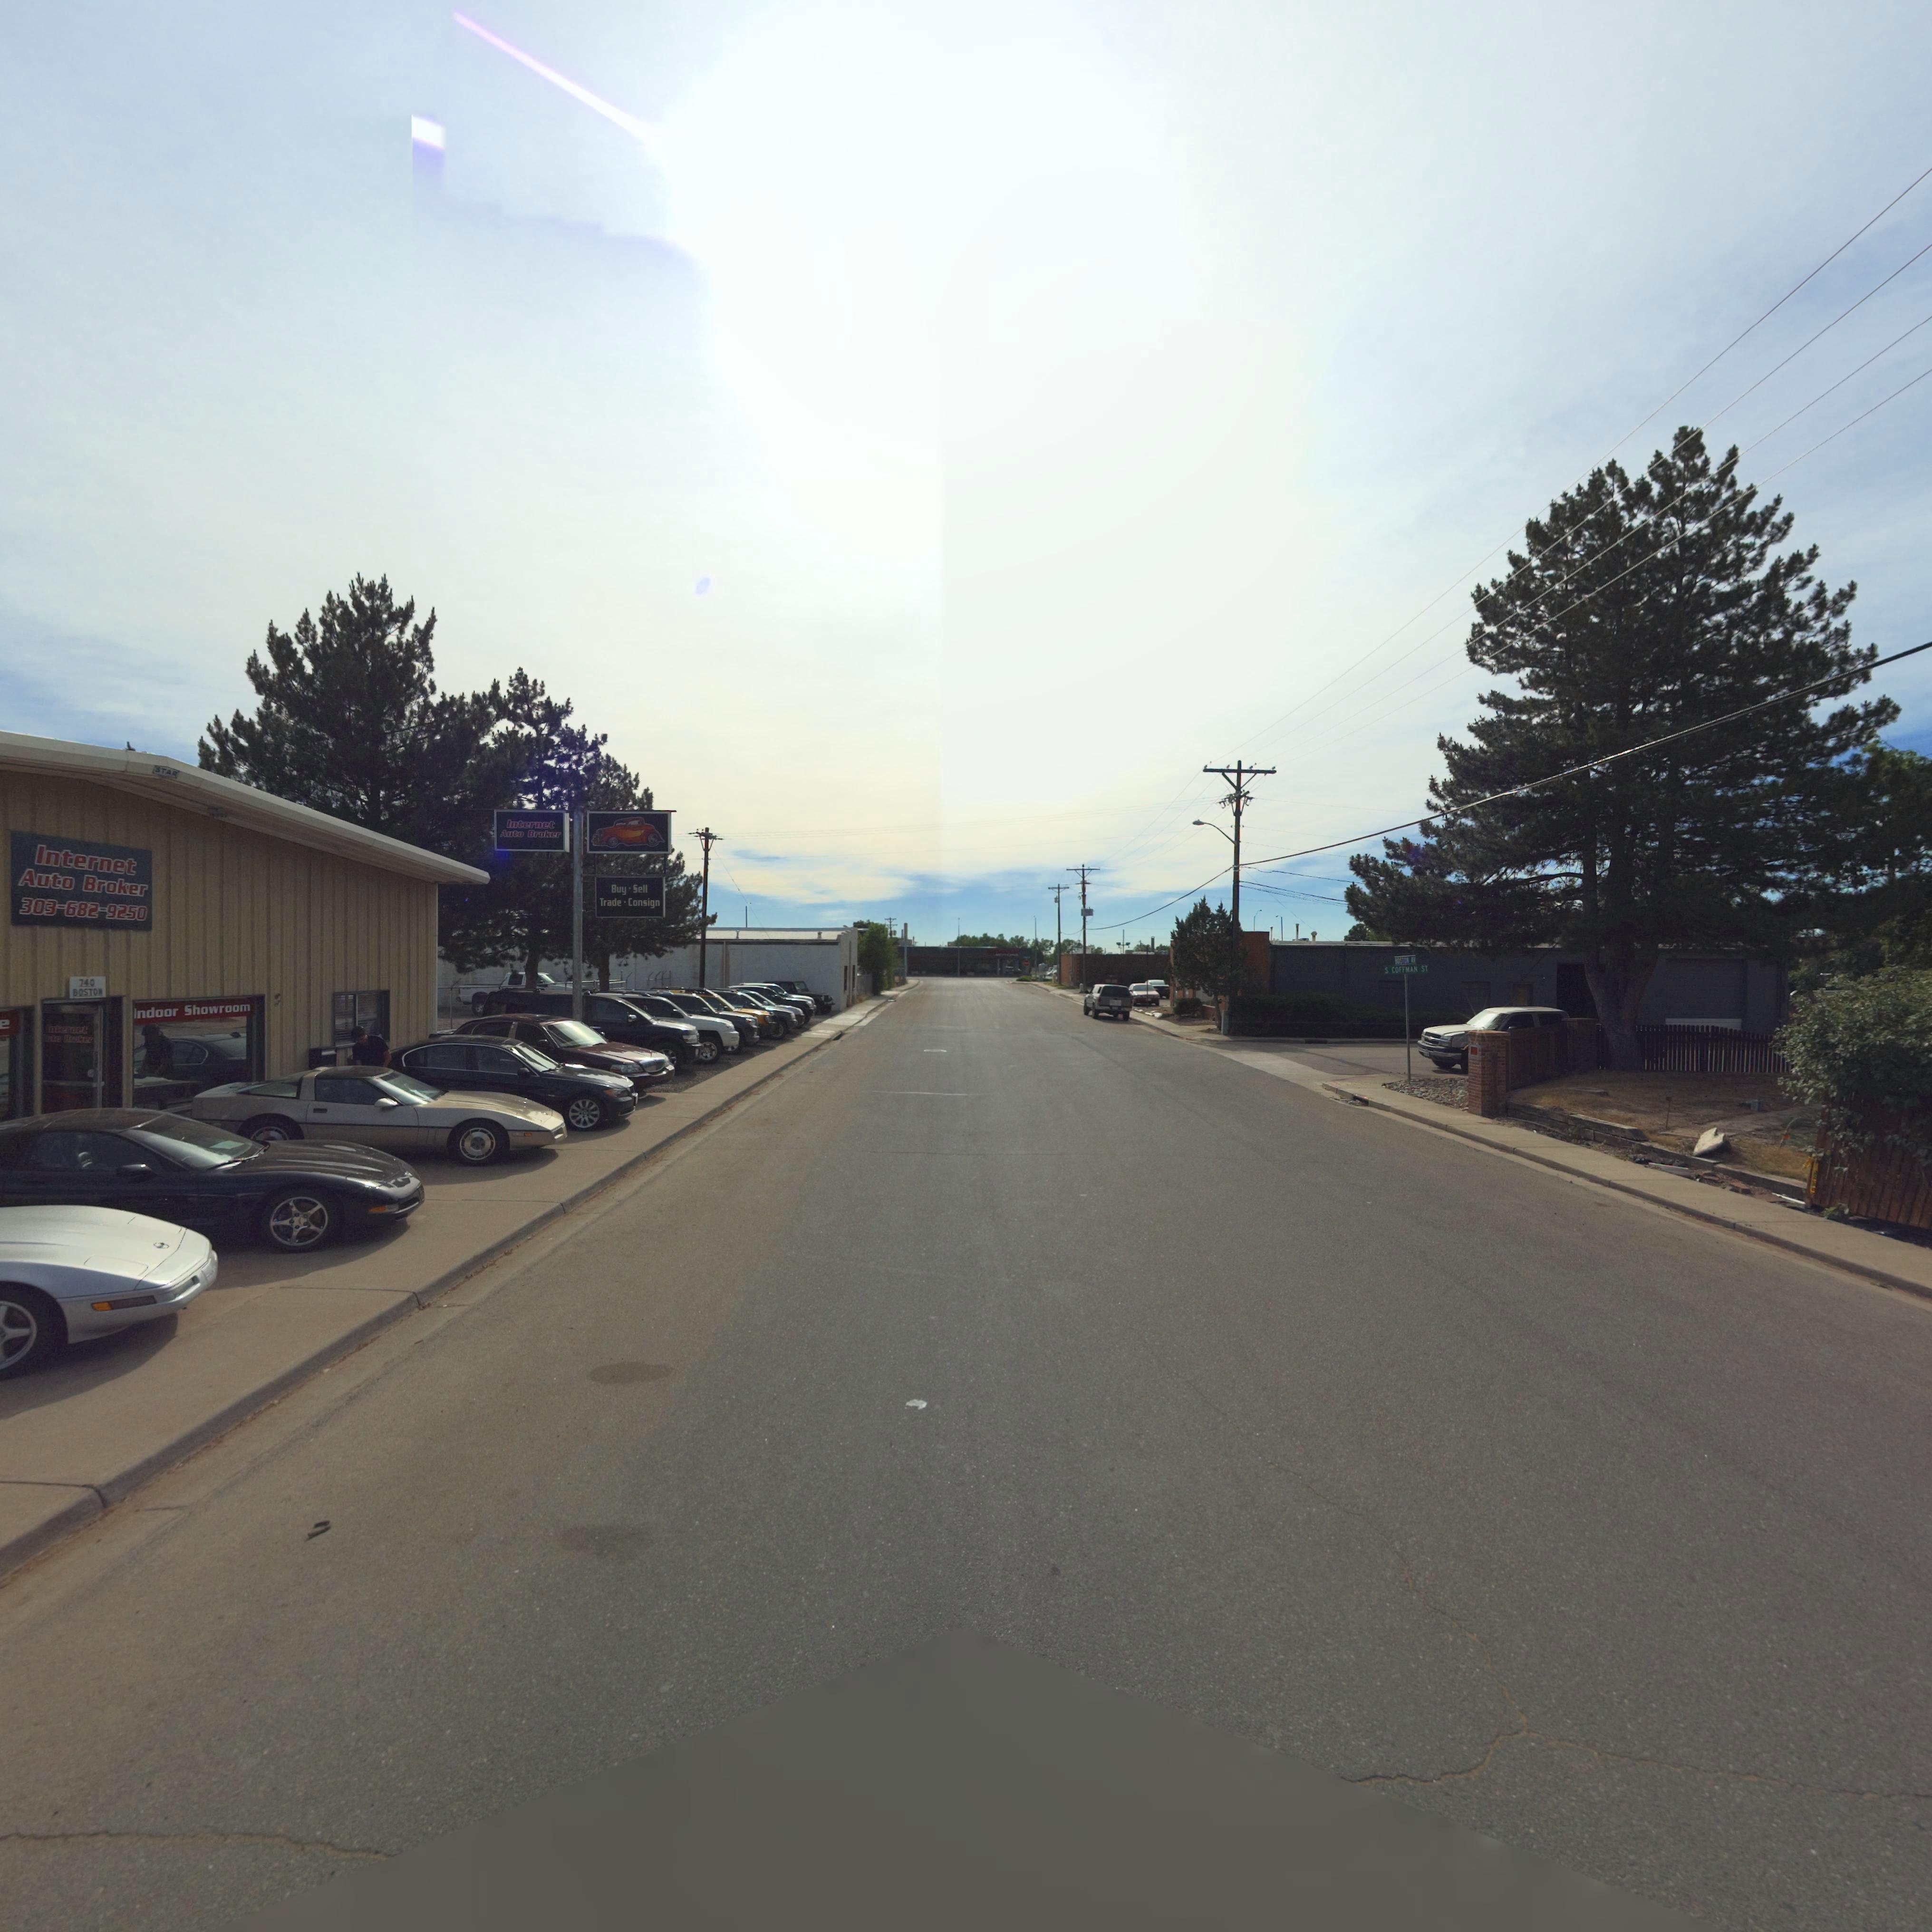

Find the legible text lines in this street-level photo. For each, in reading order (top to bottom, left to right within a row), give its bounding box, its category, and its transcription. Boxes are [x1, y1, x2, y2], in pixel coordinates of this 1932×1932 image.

[505, 819, 555, 829] BusinessName: Internet
[498, 829, 562, 838] BusinessName: Auto Broker
[32, 841, 139, 876] BusinessName: Internet
[15, 866, 150, 898] BusinessName: Auto Broker
[1394, 956, 1416, 964] StreetName: BOSTON AV
[1384, 965, 1429, 974] StreetName: S COFFMAN ST
[78, 978, 96, 986] StreetNumber: 740
[71, 987, 104, 996] StreetName: BOSTON
[45, 1023, 88, 1034] BusinessName: Internet
[42, 1034, 94, 1043] BusinessName: **** Brok**